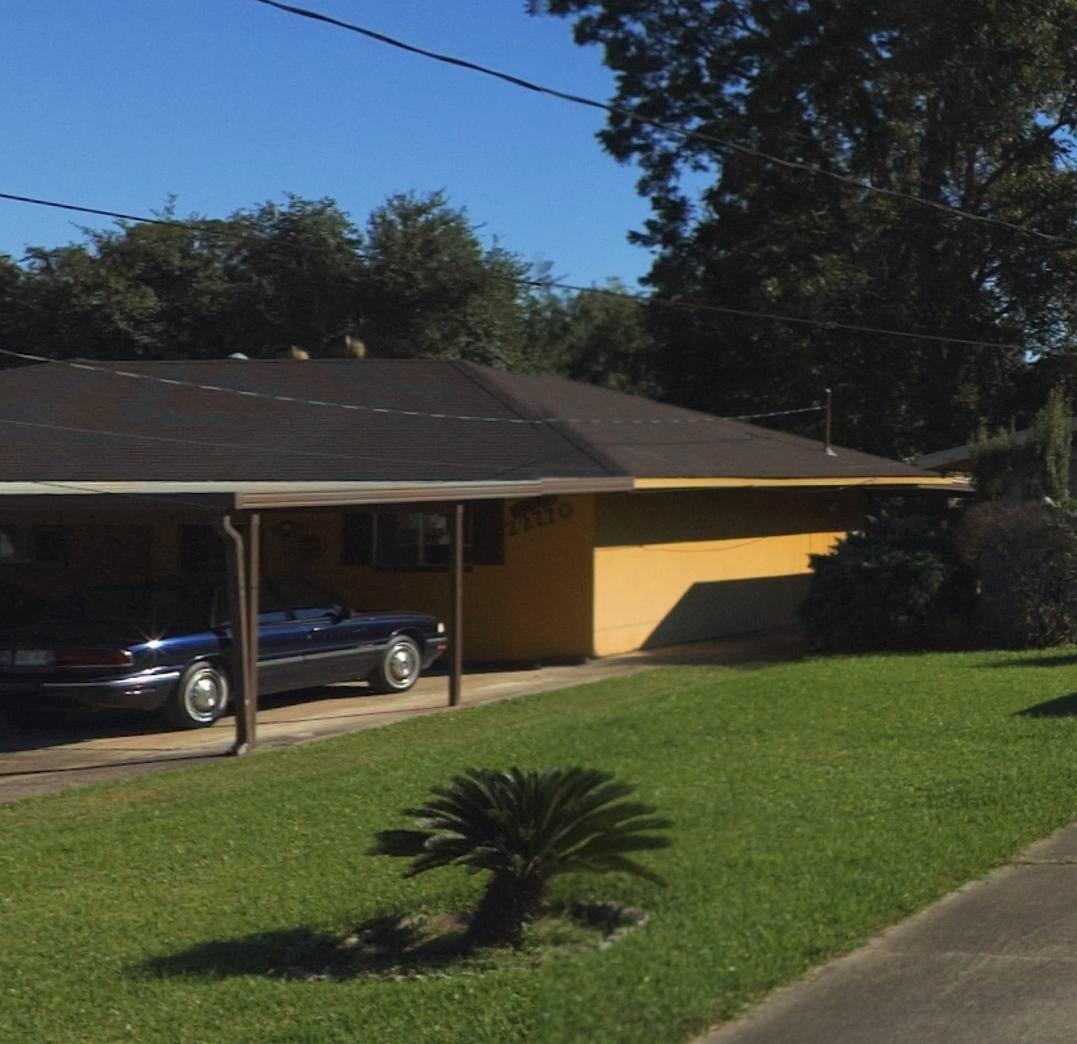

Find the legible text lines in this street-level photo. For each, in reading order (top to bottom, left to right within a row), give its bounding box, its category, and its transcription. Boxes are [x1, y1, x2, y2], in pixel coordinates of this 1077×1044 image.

[502, 496, 575, 541] StreetNumber: 22*70